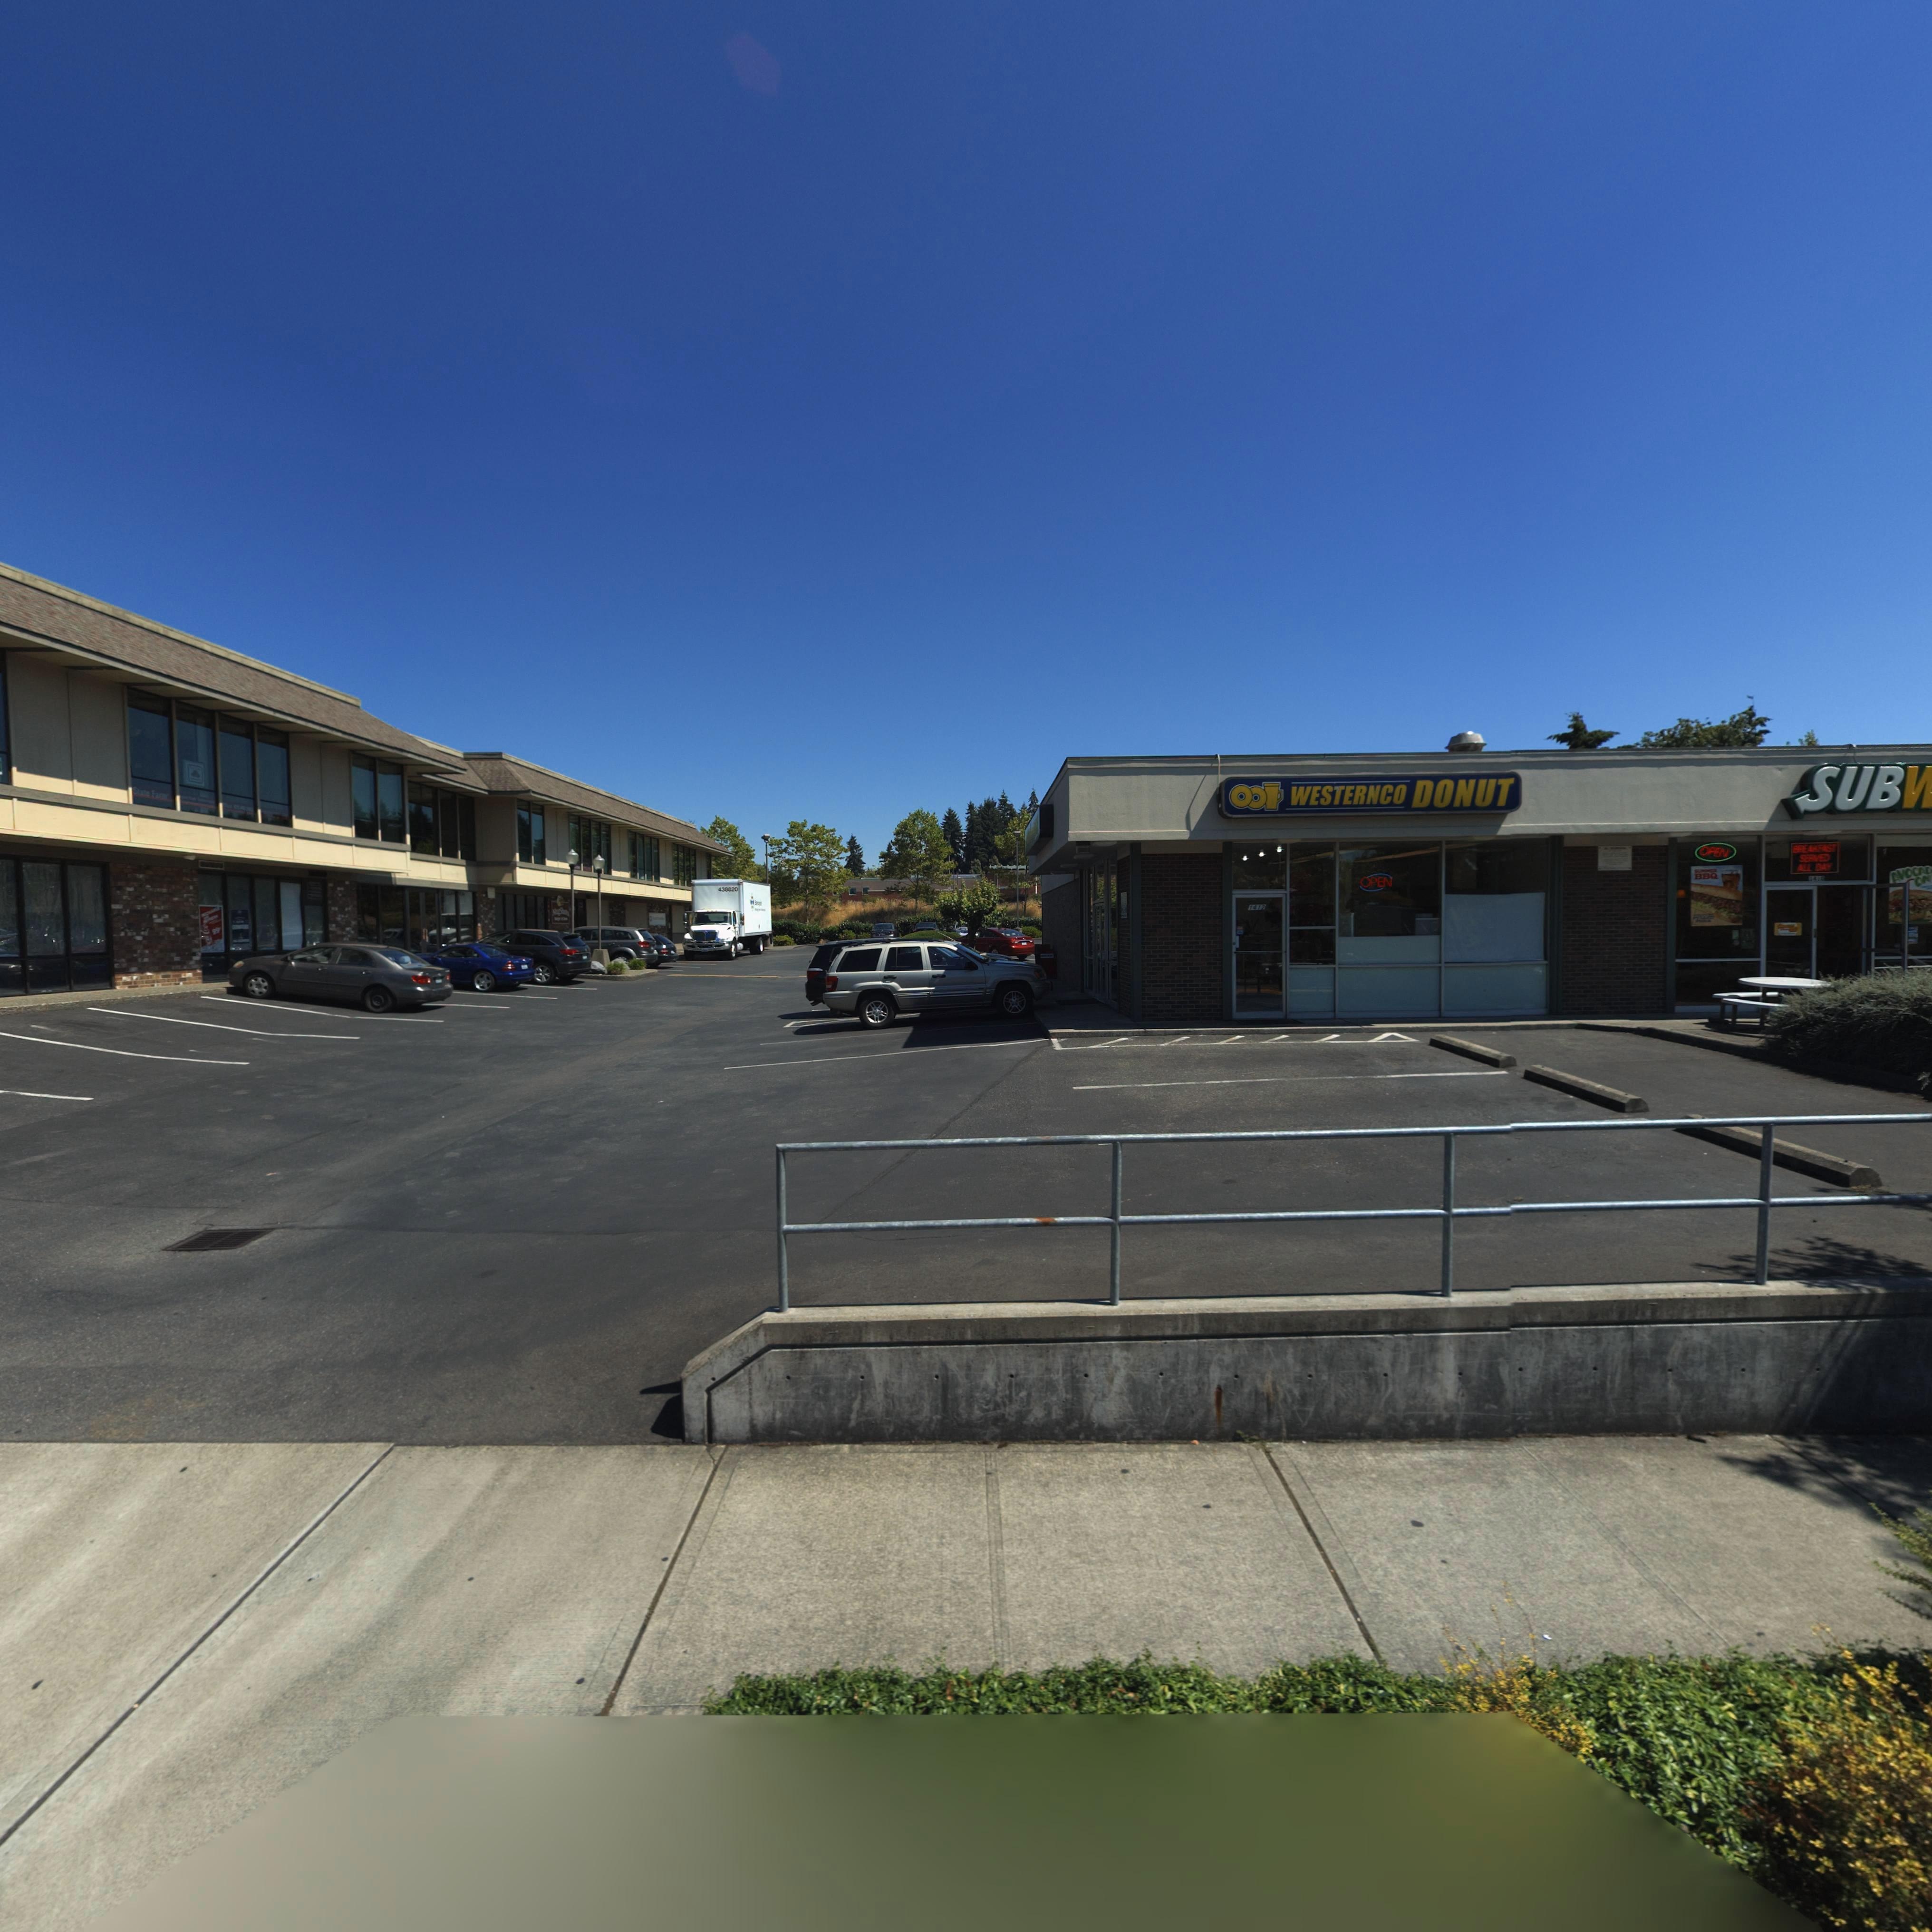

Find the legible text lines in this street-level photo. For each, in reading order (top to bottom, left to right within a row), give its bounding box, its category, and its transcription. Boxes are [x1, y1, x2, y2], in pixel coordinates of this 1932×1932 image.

[1284, 773, 1519, 811] BusinessName: WESTERNCO DOI
[1786, 766, 1905, 814] BusinessName: SUB
[1807, 875, 1826, 881] StreetNumber: 1410
[1249, 903, 1266, 911] StreetNumber: 1412